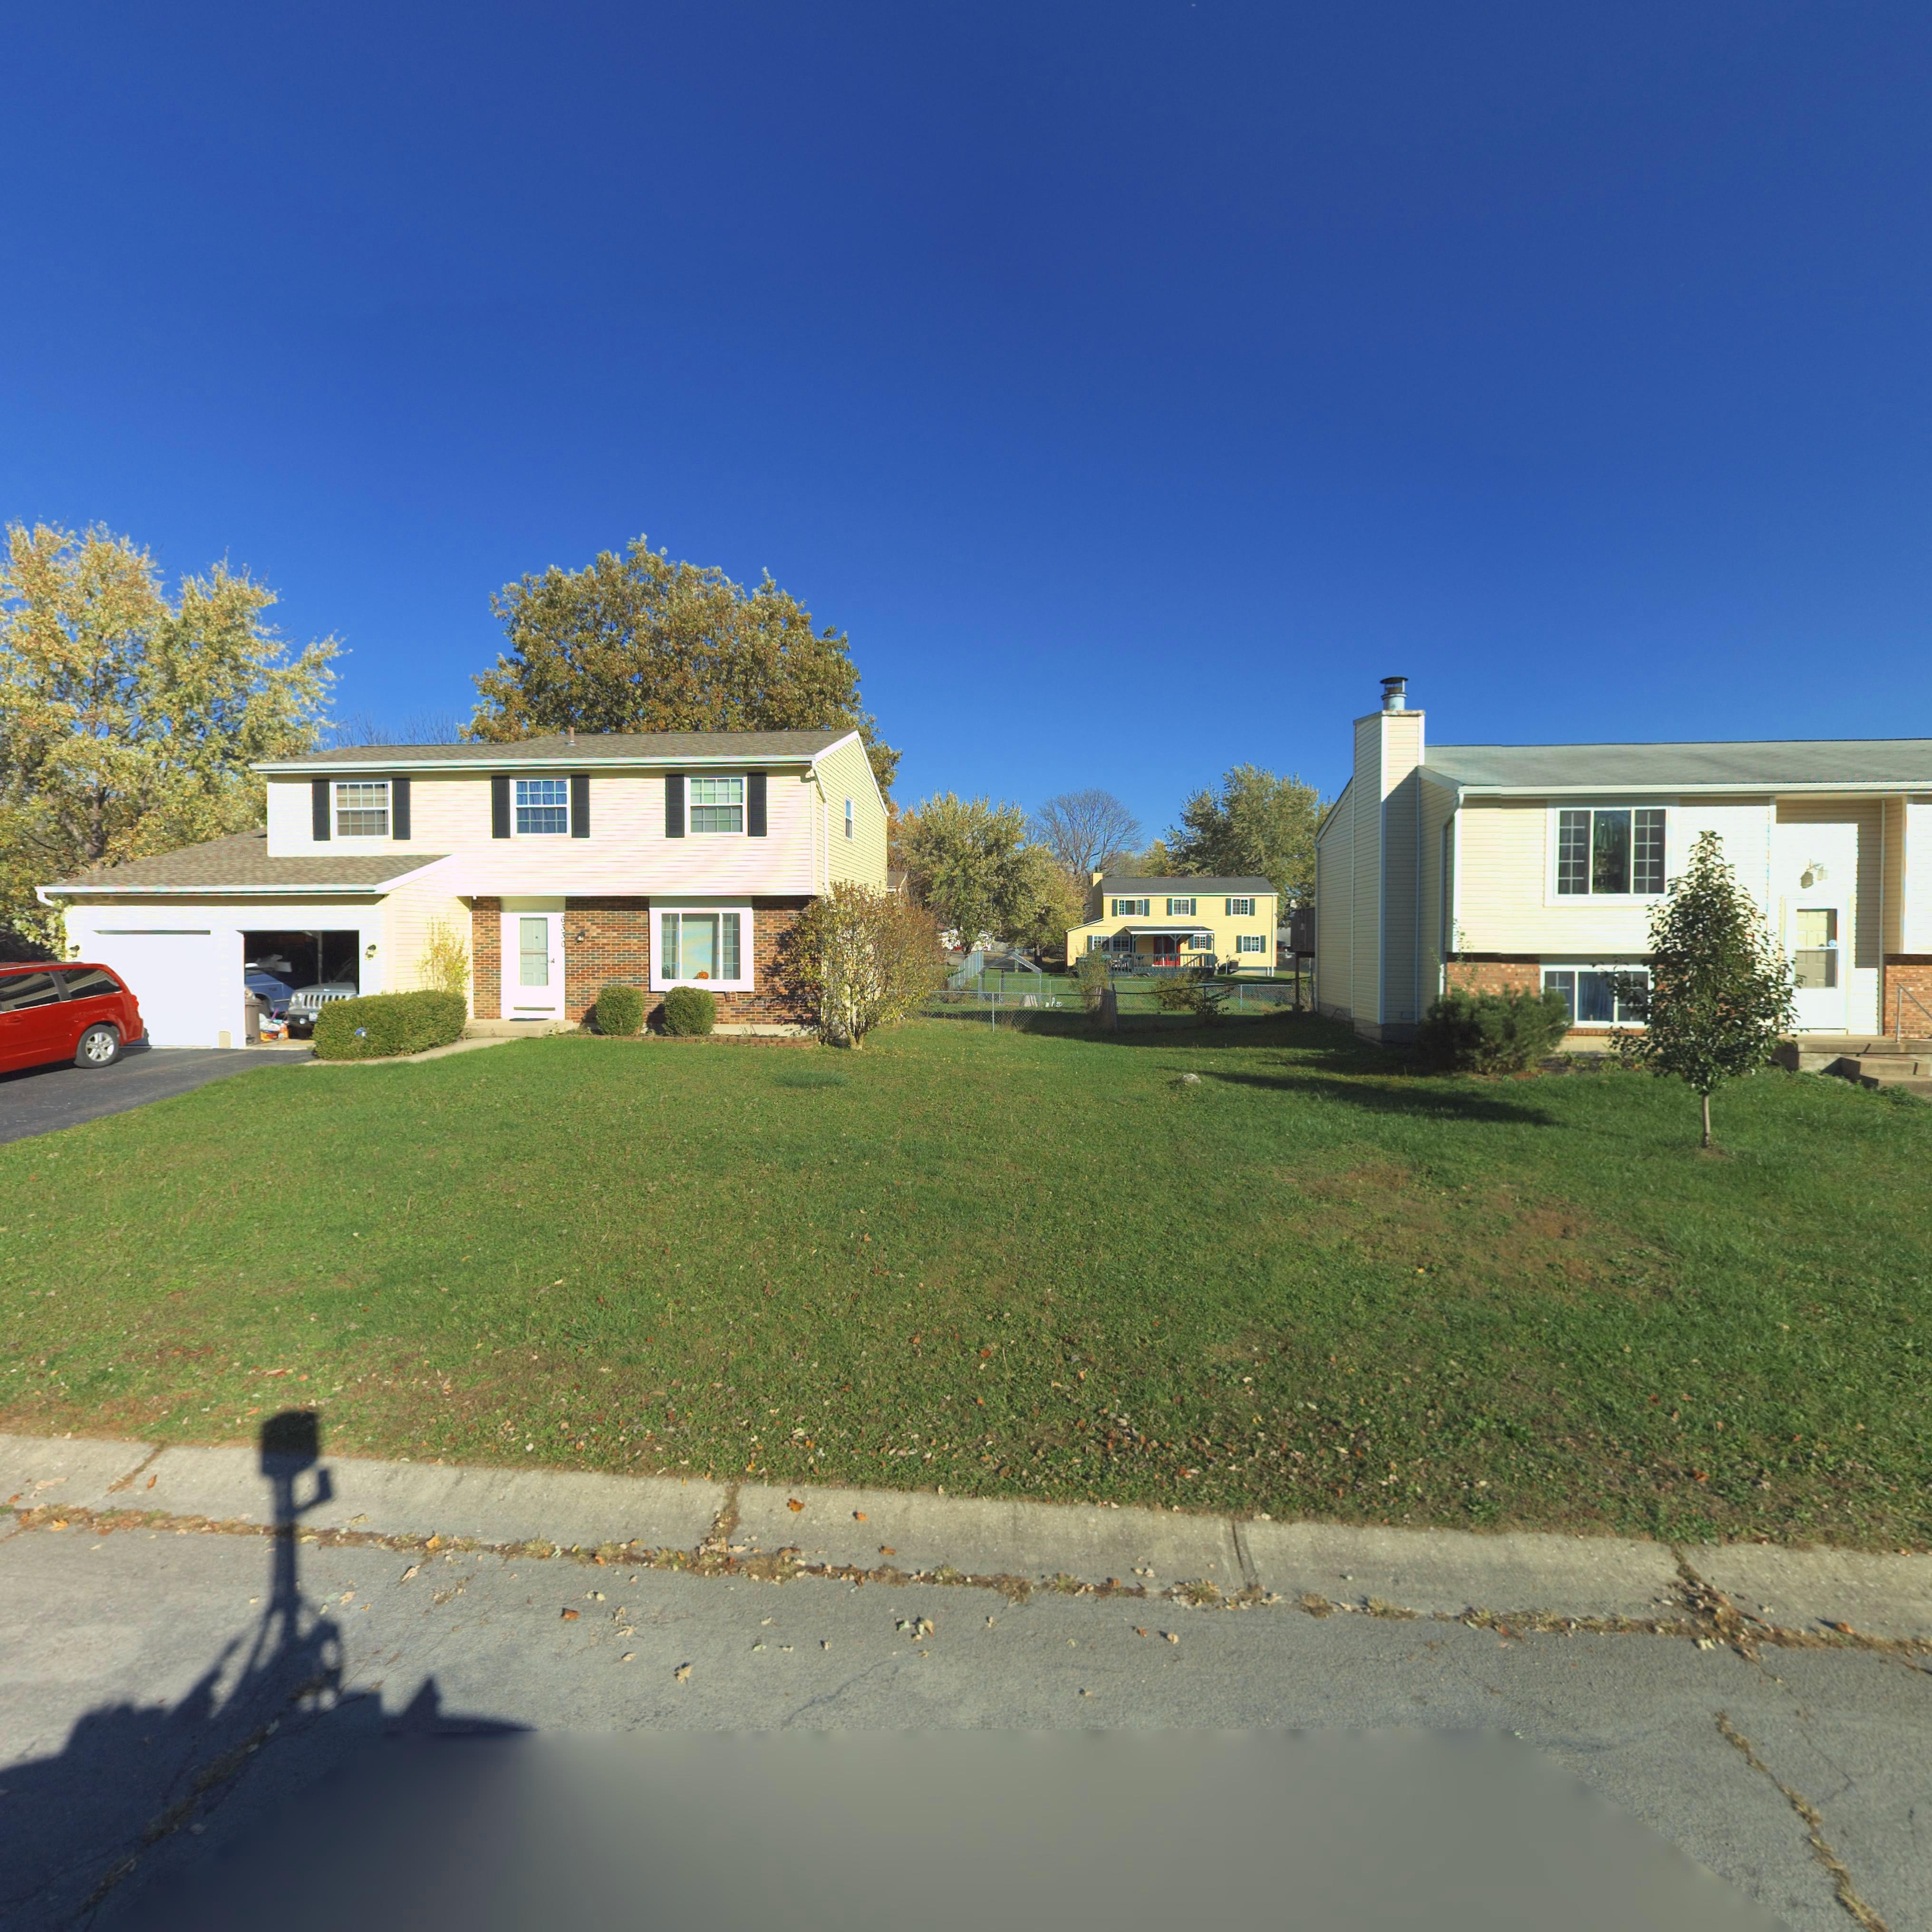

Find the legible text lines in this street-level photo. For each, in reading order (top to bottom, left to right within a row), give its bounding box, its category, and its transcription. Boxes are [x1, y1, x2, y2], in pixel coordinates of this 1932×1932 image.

[560, 915, 567, 949] StreetNumber: 6330